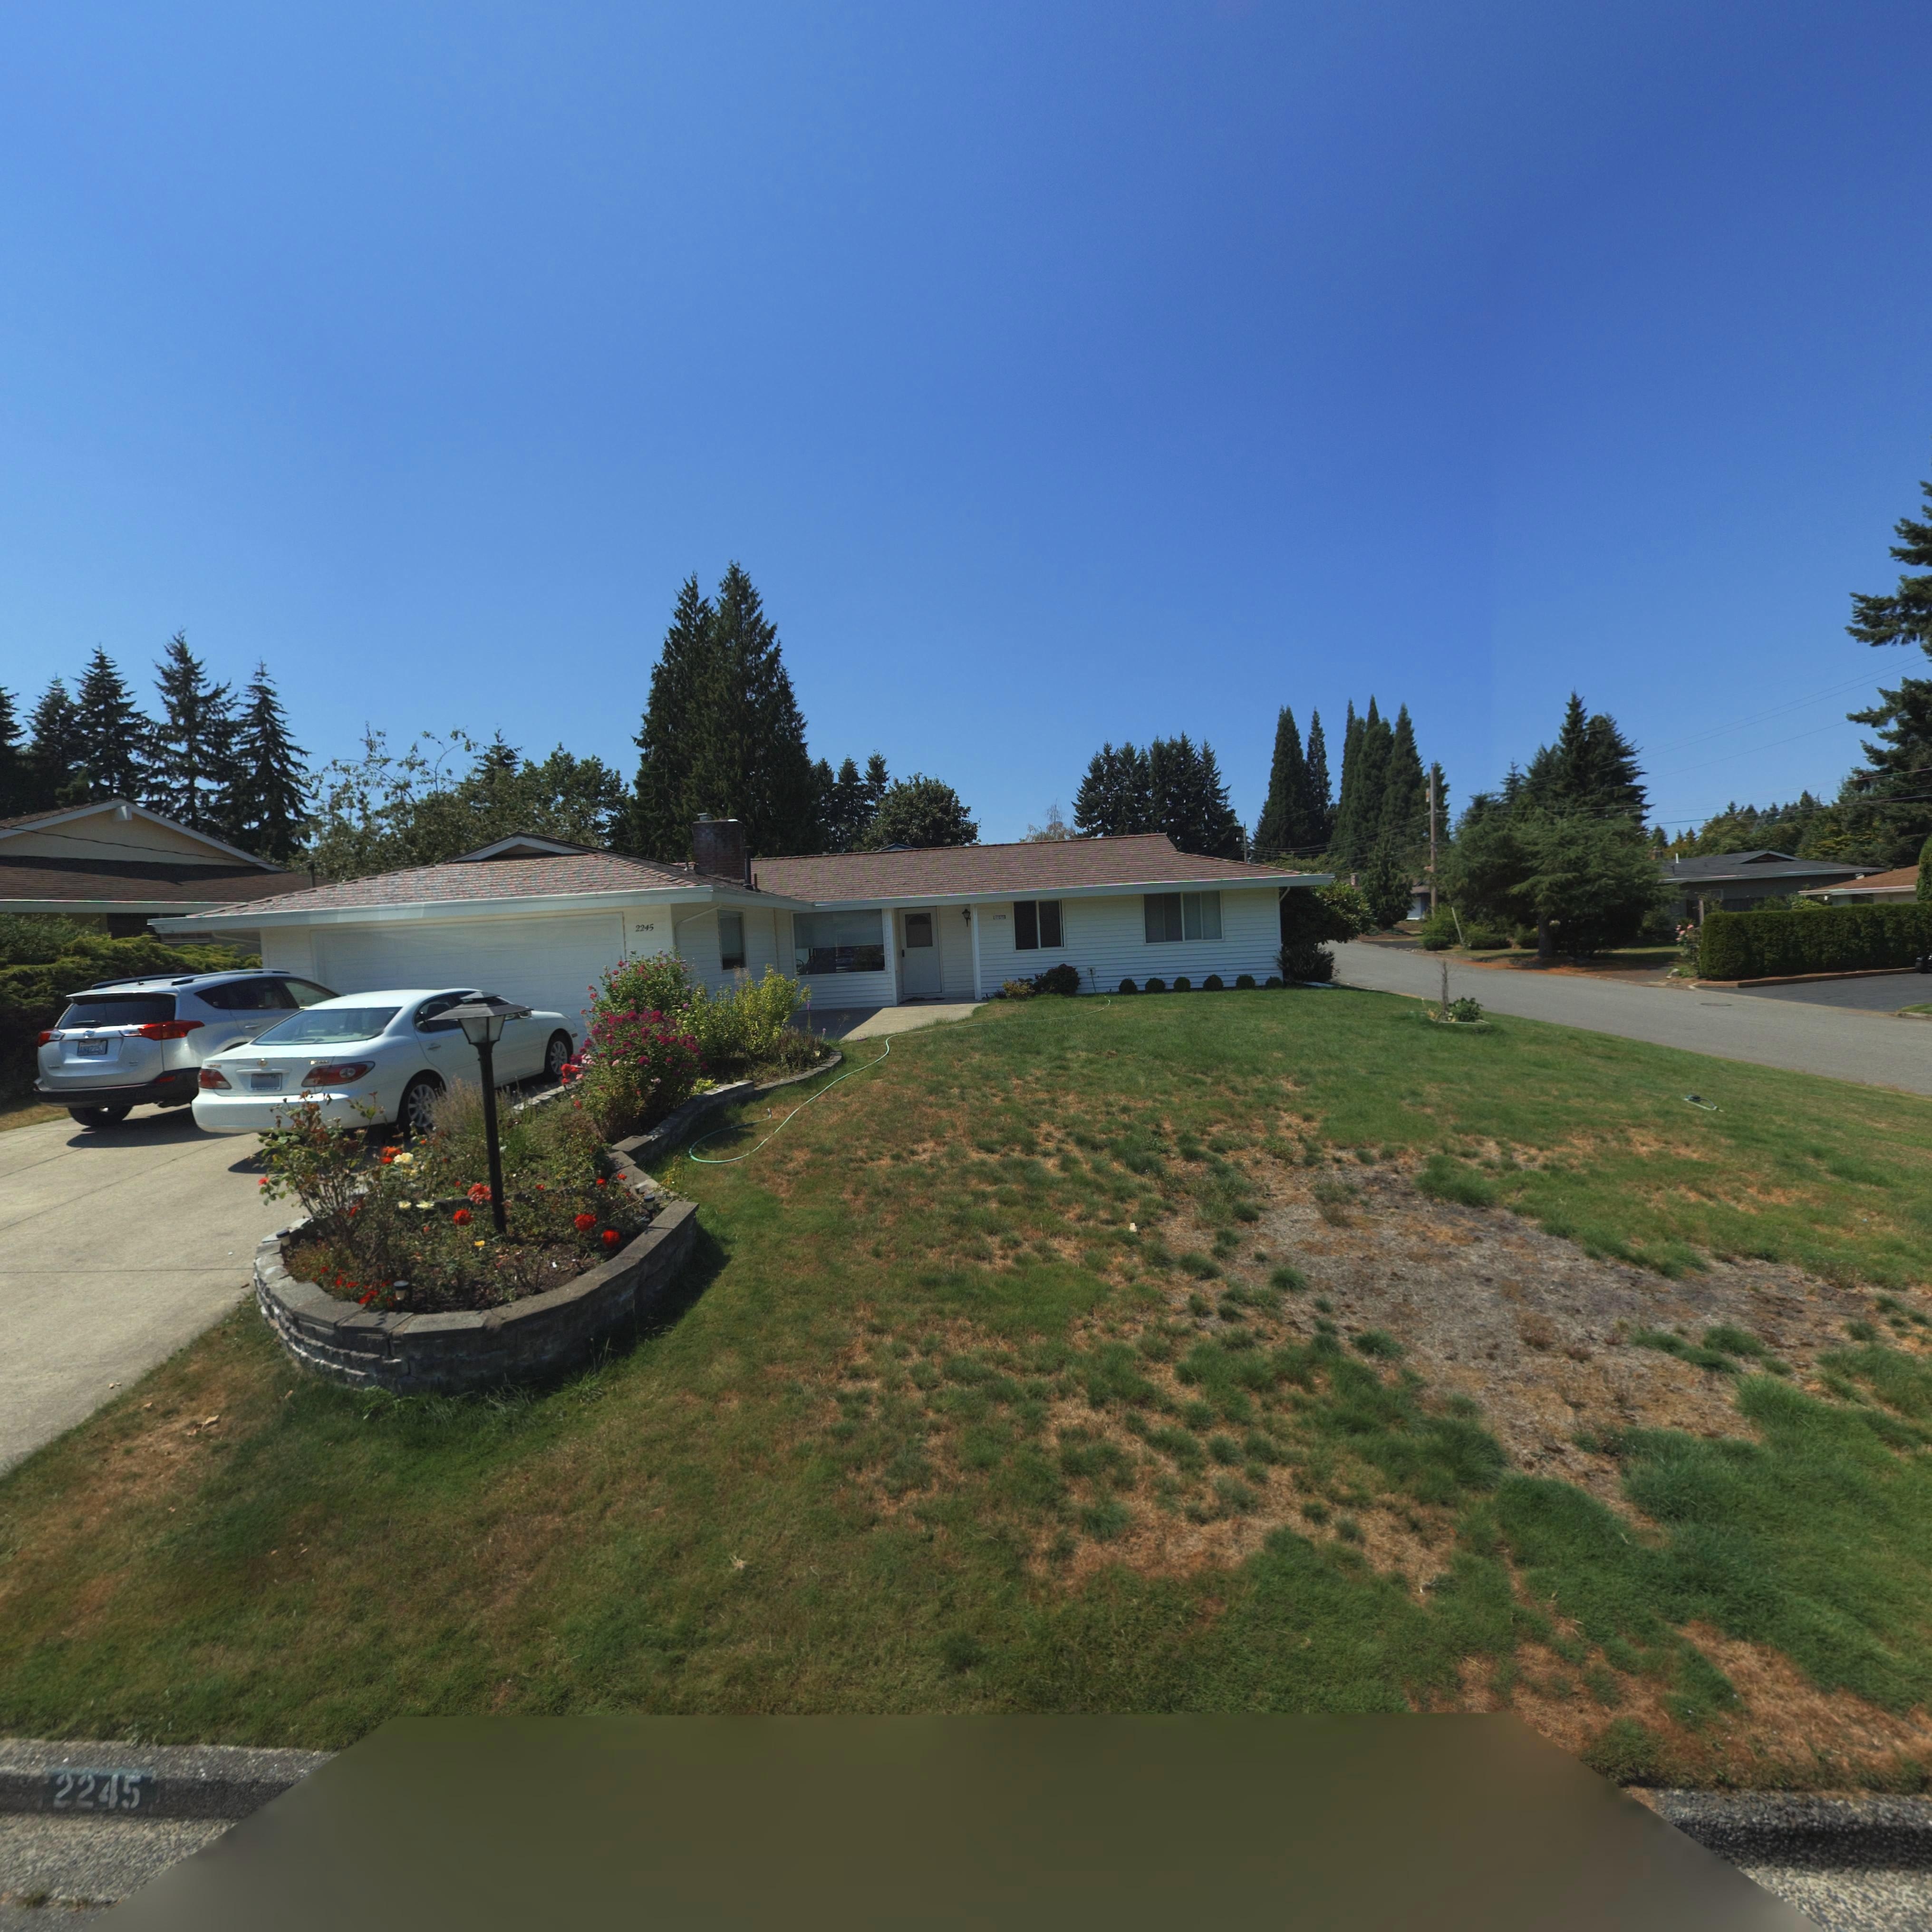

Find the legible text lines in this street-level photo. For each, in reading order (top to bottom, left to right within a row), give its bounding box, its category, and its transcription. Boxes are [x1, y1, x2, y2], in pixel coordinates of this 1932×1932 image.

[635, 923, 654, 933] StreetNumber: 2245
[52, 1772, 144, 1809] StreetNumber: 2245